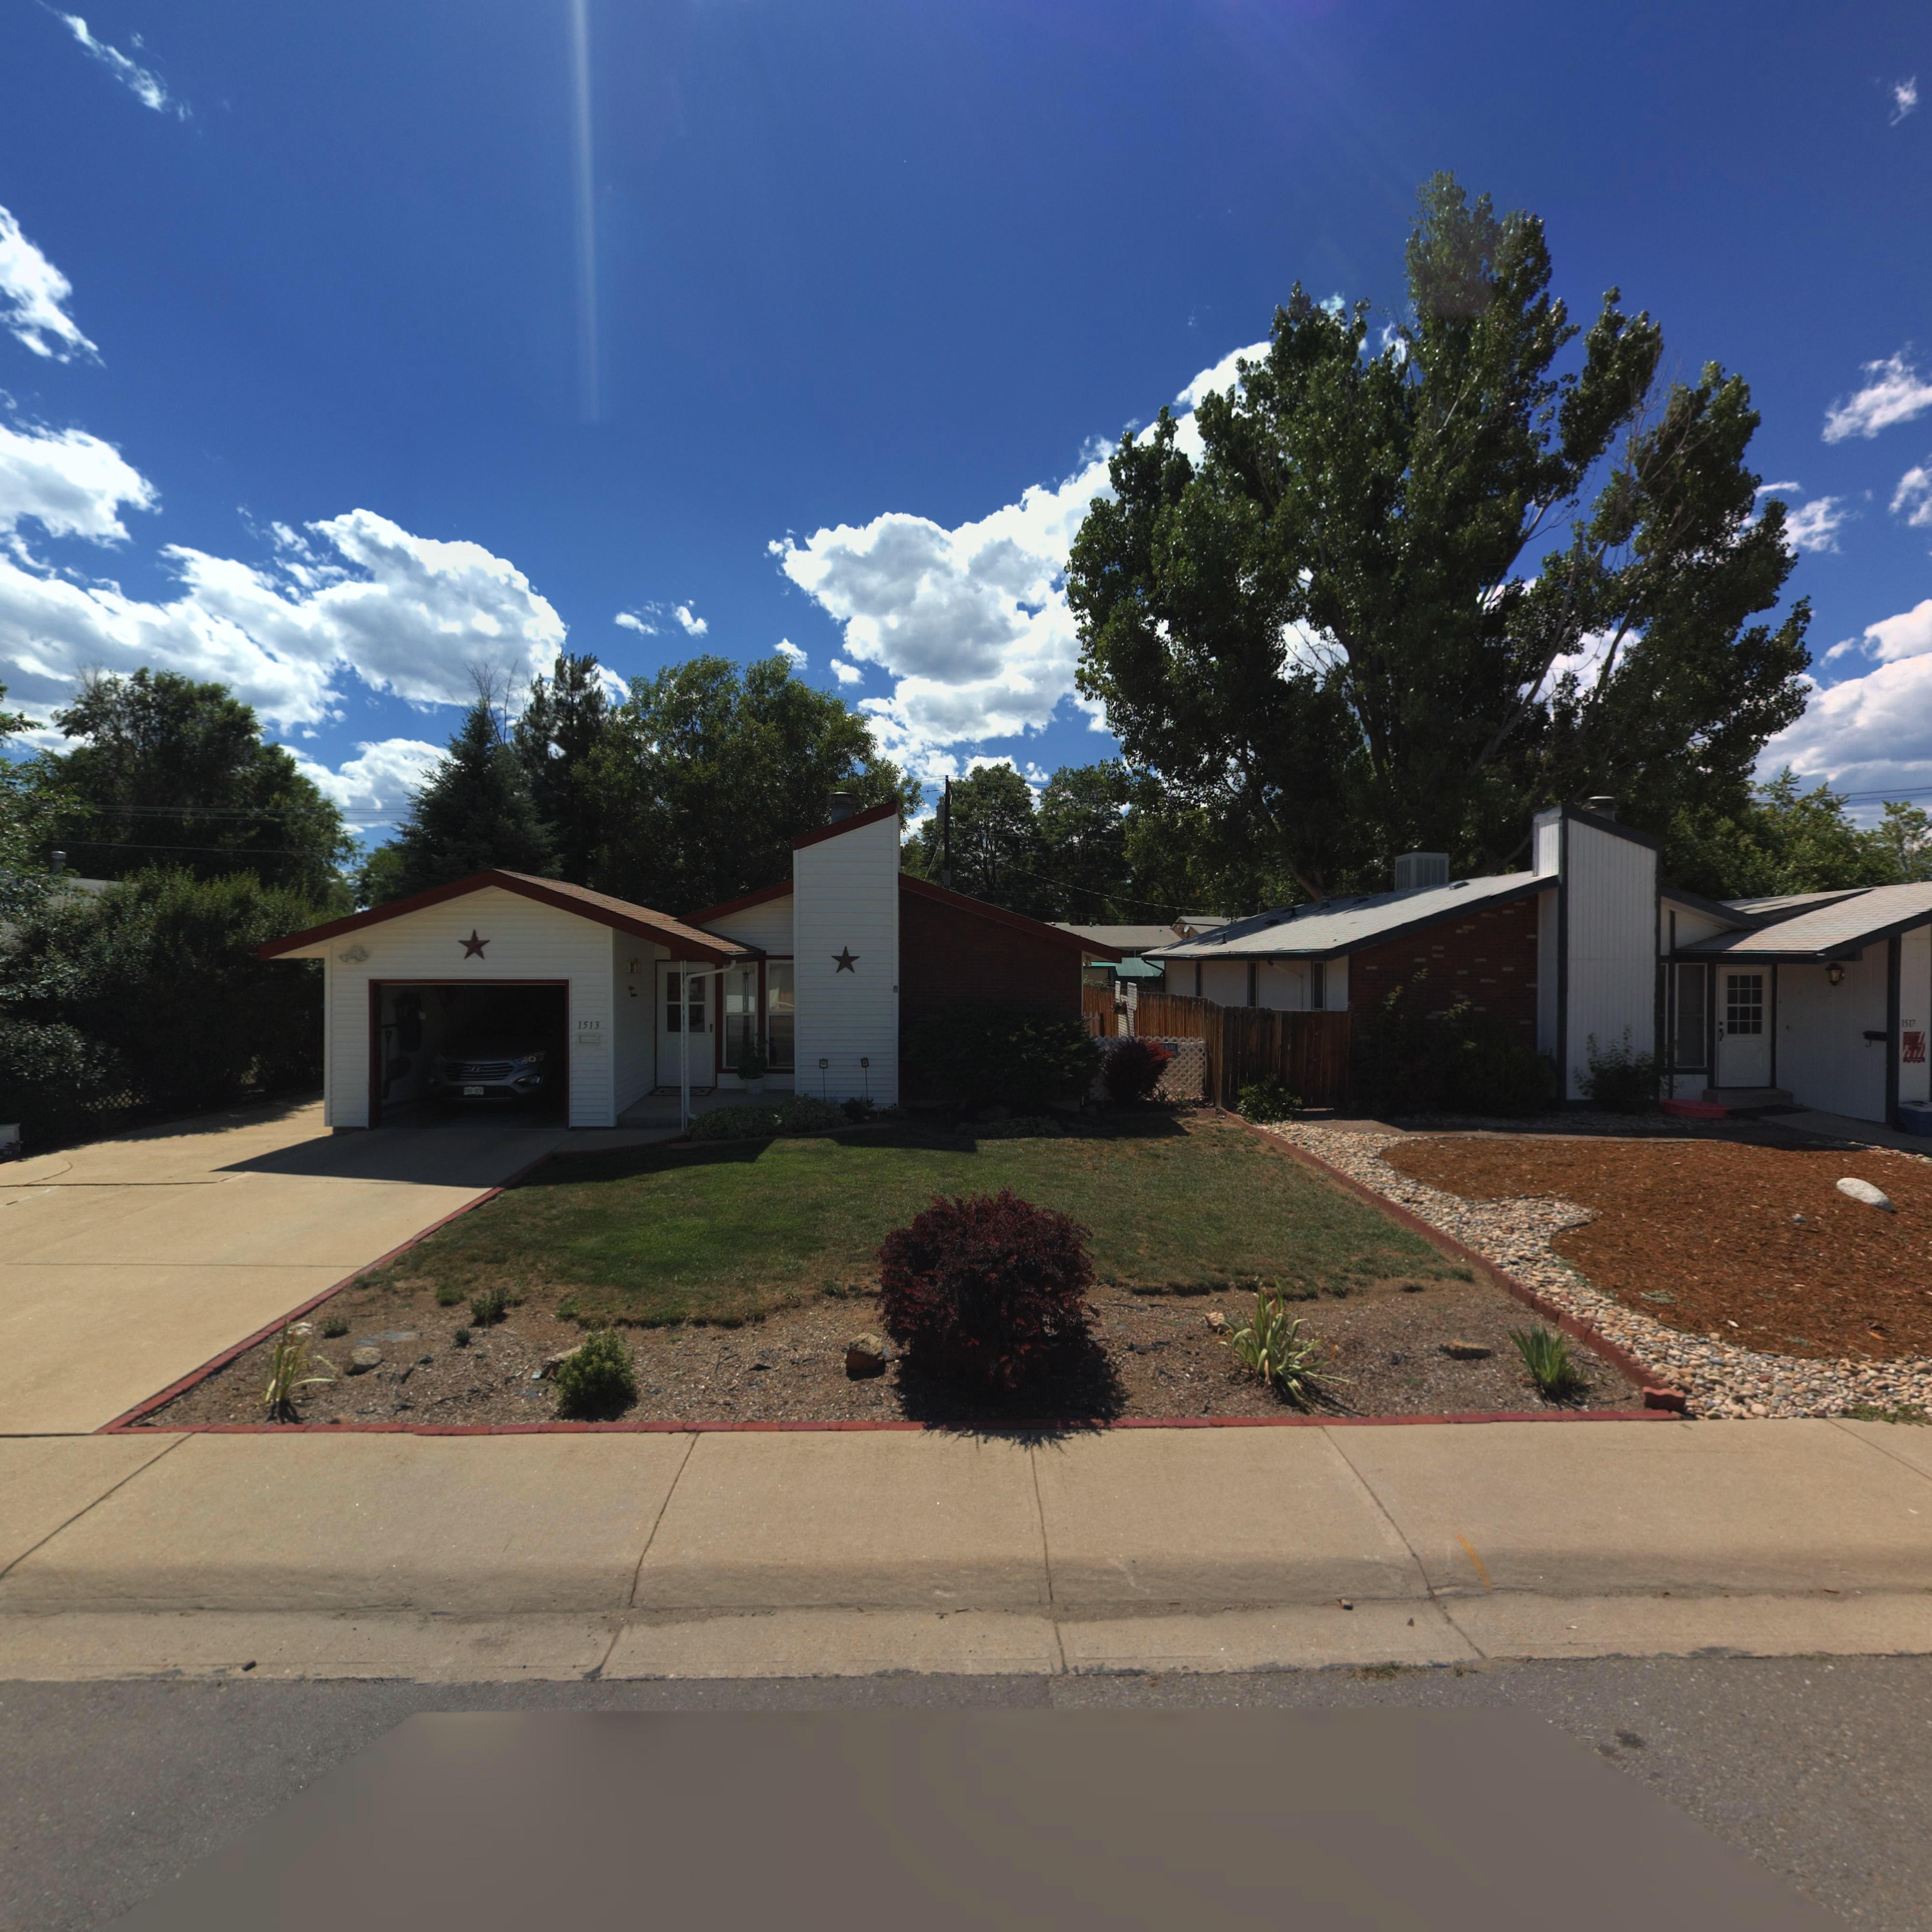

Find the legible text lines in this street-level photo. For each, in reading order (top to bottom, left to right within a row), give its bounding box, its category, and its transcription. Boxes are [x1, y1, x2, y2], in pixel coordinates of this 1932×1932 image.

[578, 1020, 599, 1030] StreetNumber: 1513
[1901, 1019, 1916, 1028] StreetNumber: 1517